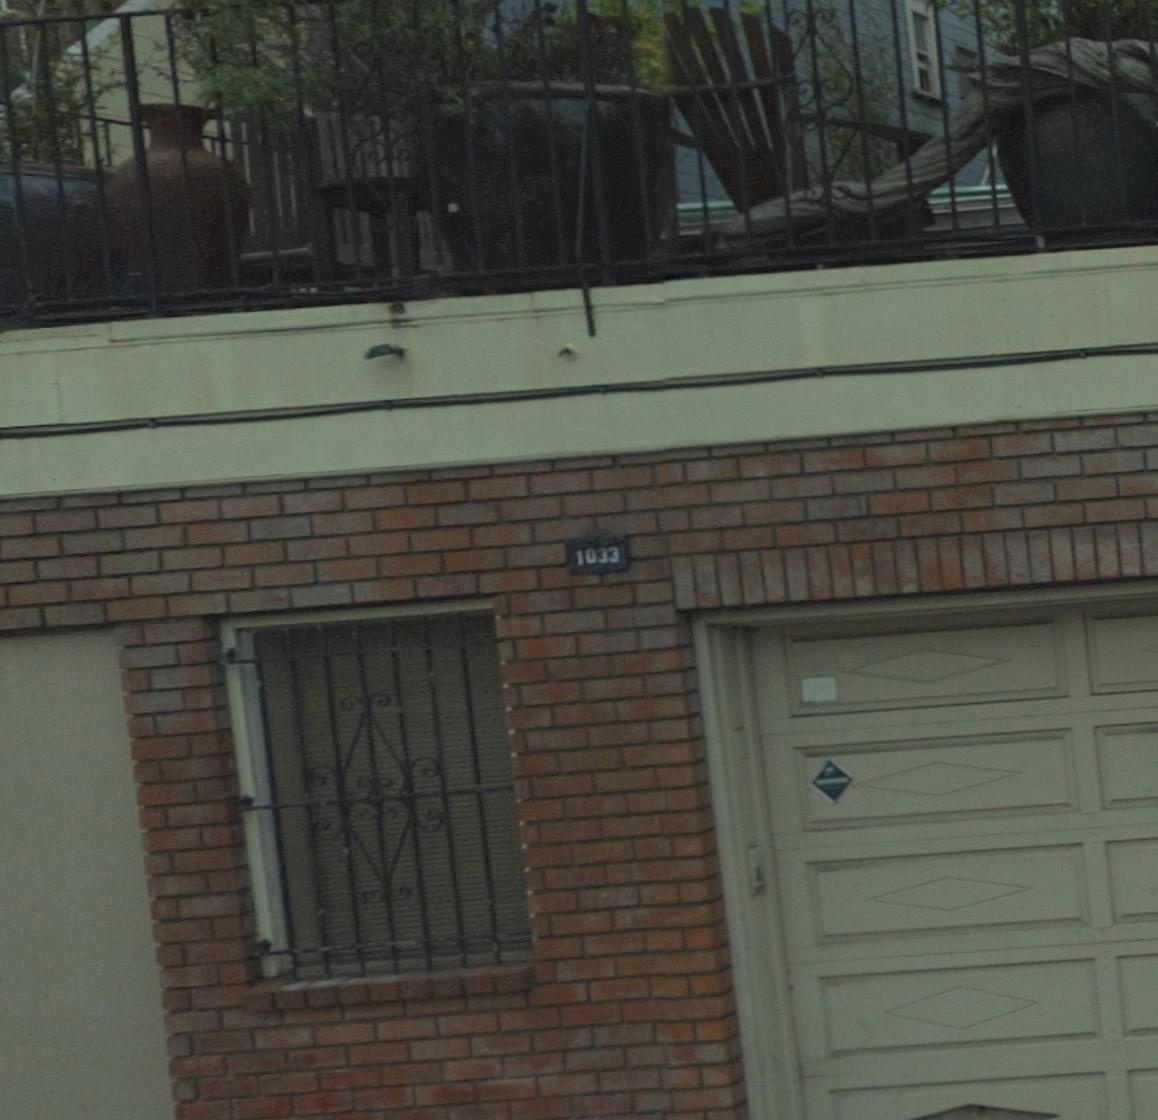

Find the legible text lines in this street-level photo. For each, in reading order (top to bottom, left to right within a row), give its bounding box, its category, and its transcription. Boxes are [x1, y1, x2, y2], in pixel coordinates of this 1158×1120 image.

[574, 545, 621, 568] StreetNumber: 1033